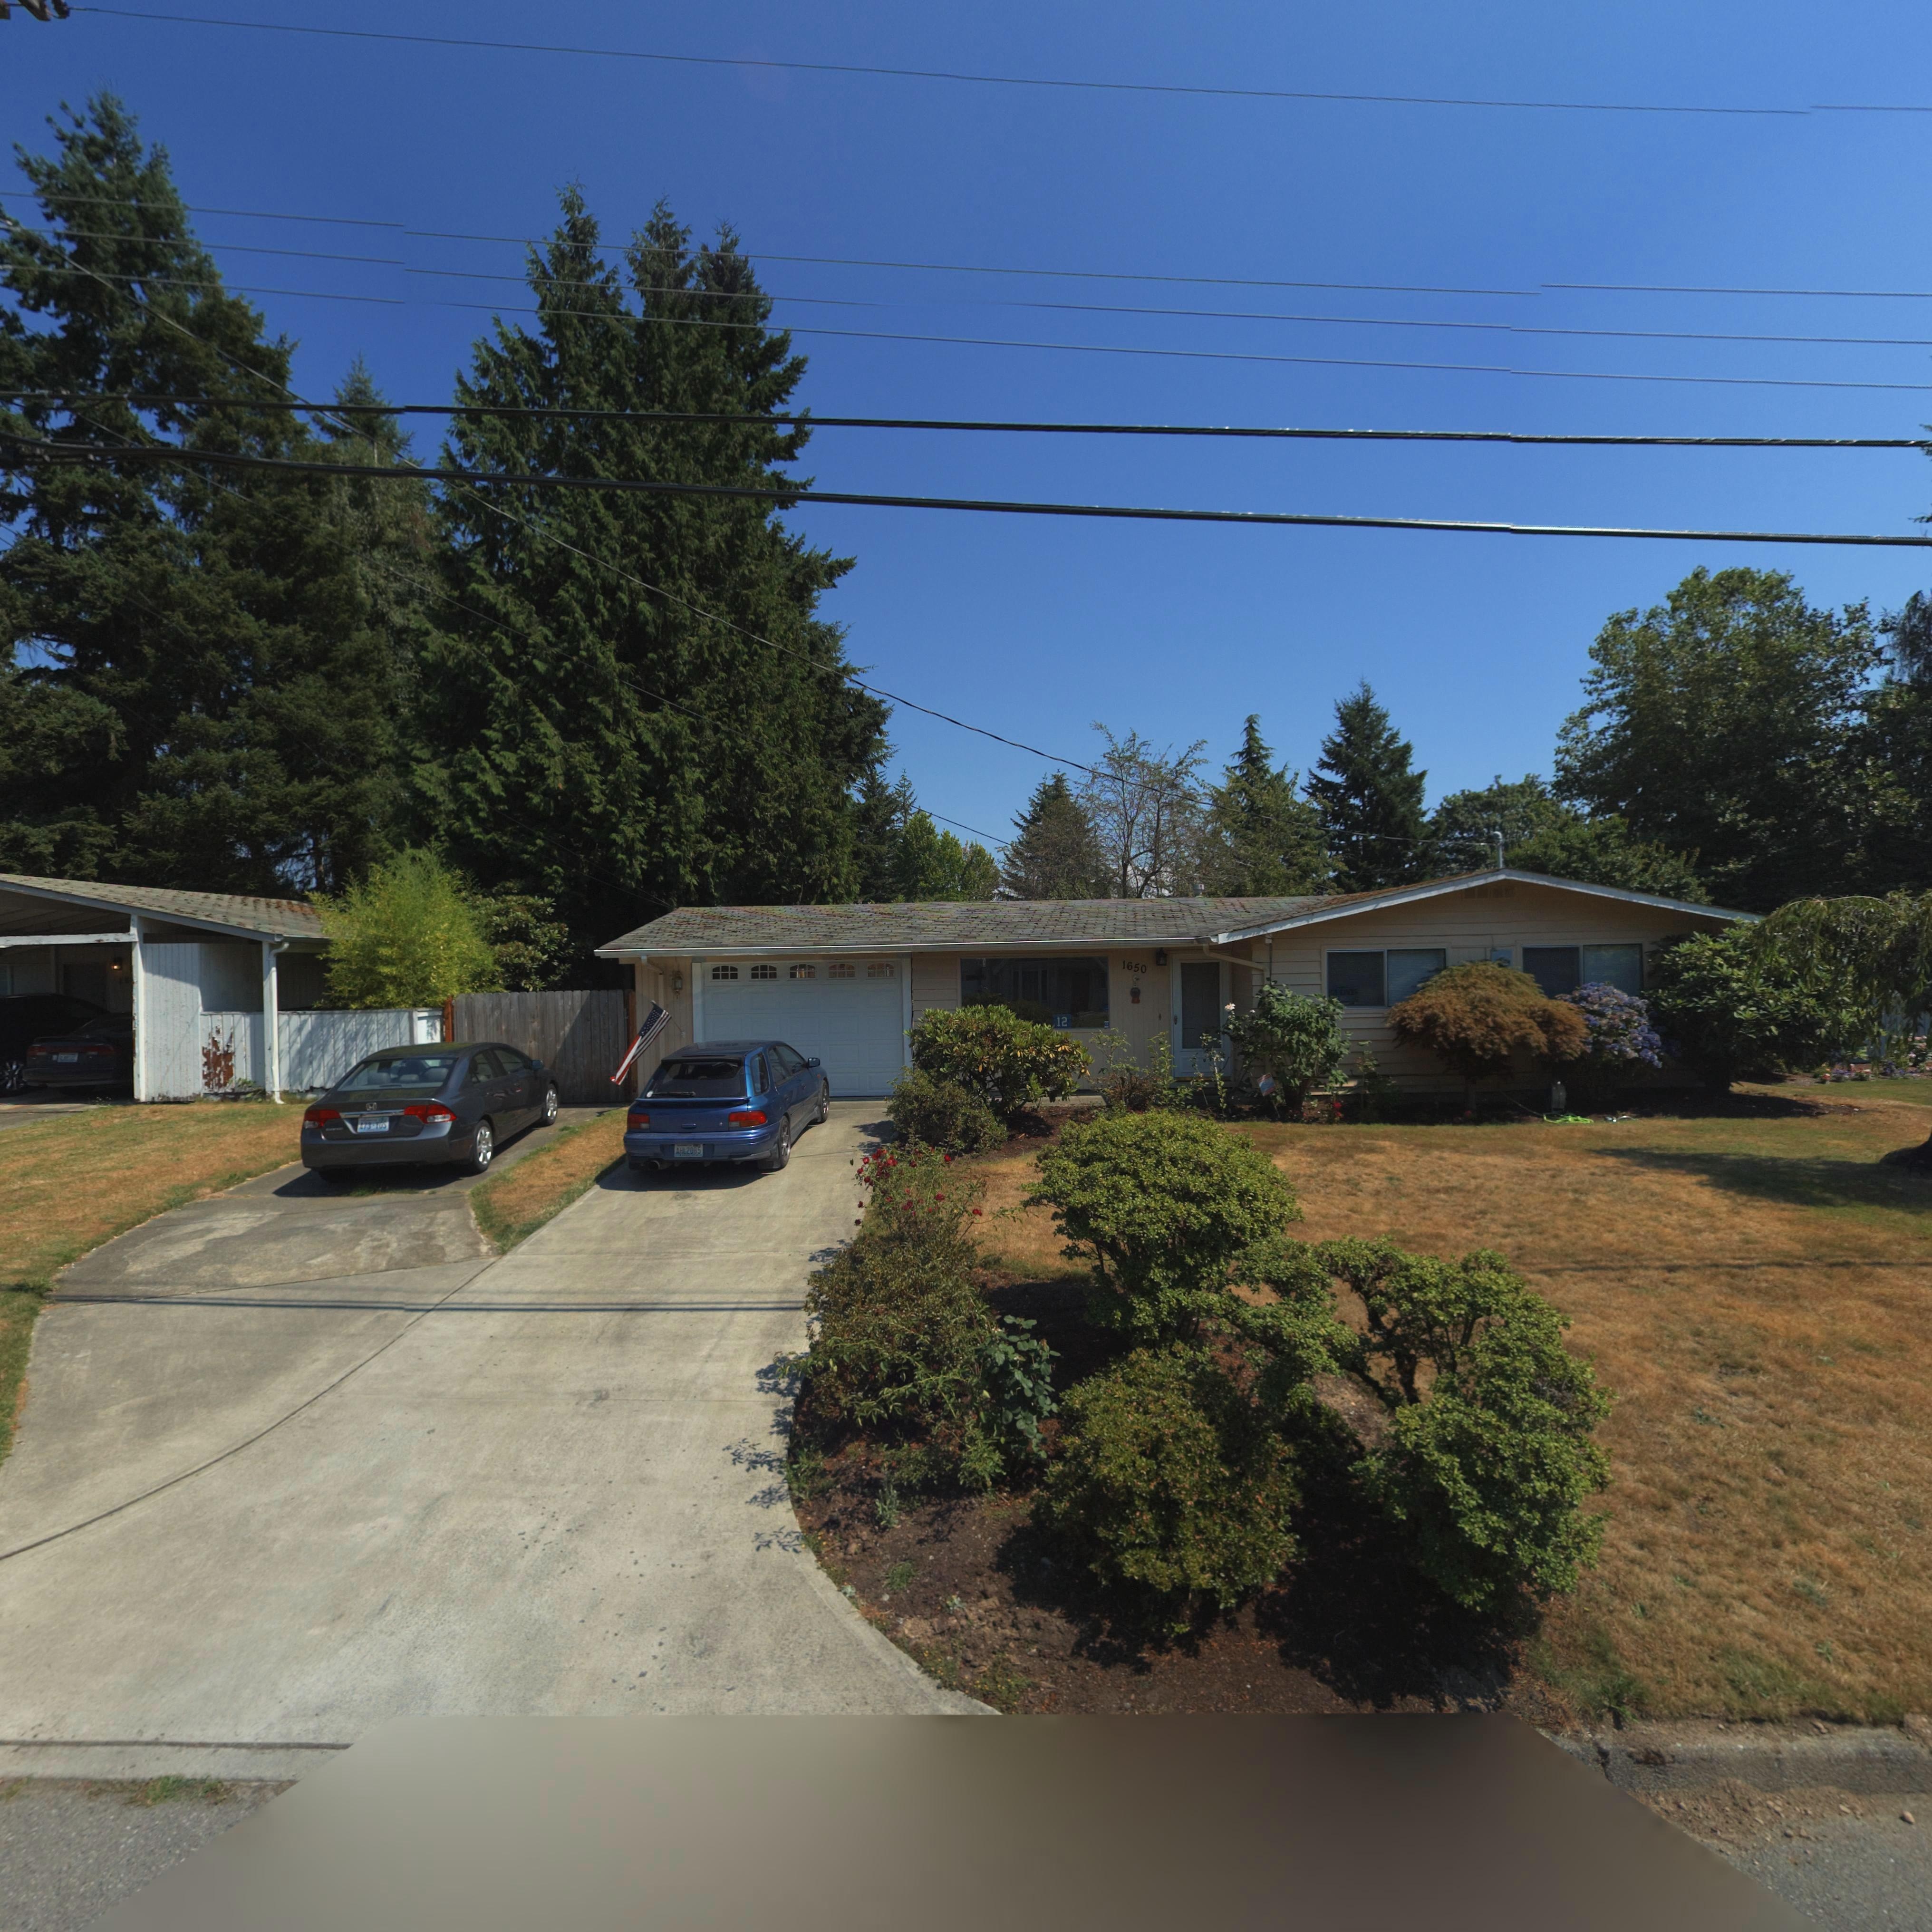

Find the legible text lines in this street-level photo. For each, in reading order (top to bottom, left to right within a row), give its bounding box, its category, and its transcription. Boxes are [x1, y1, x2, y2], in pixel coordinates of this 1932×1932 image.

[1123, 960, 1146, 973] StreetNumber: 1650